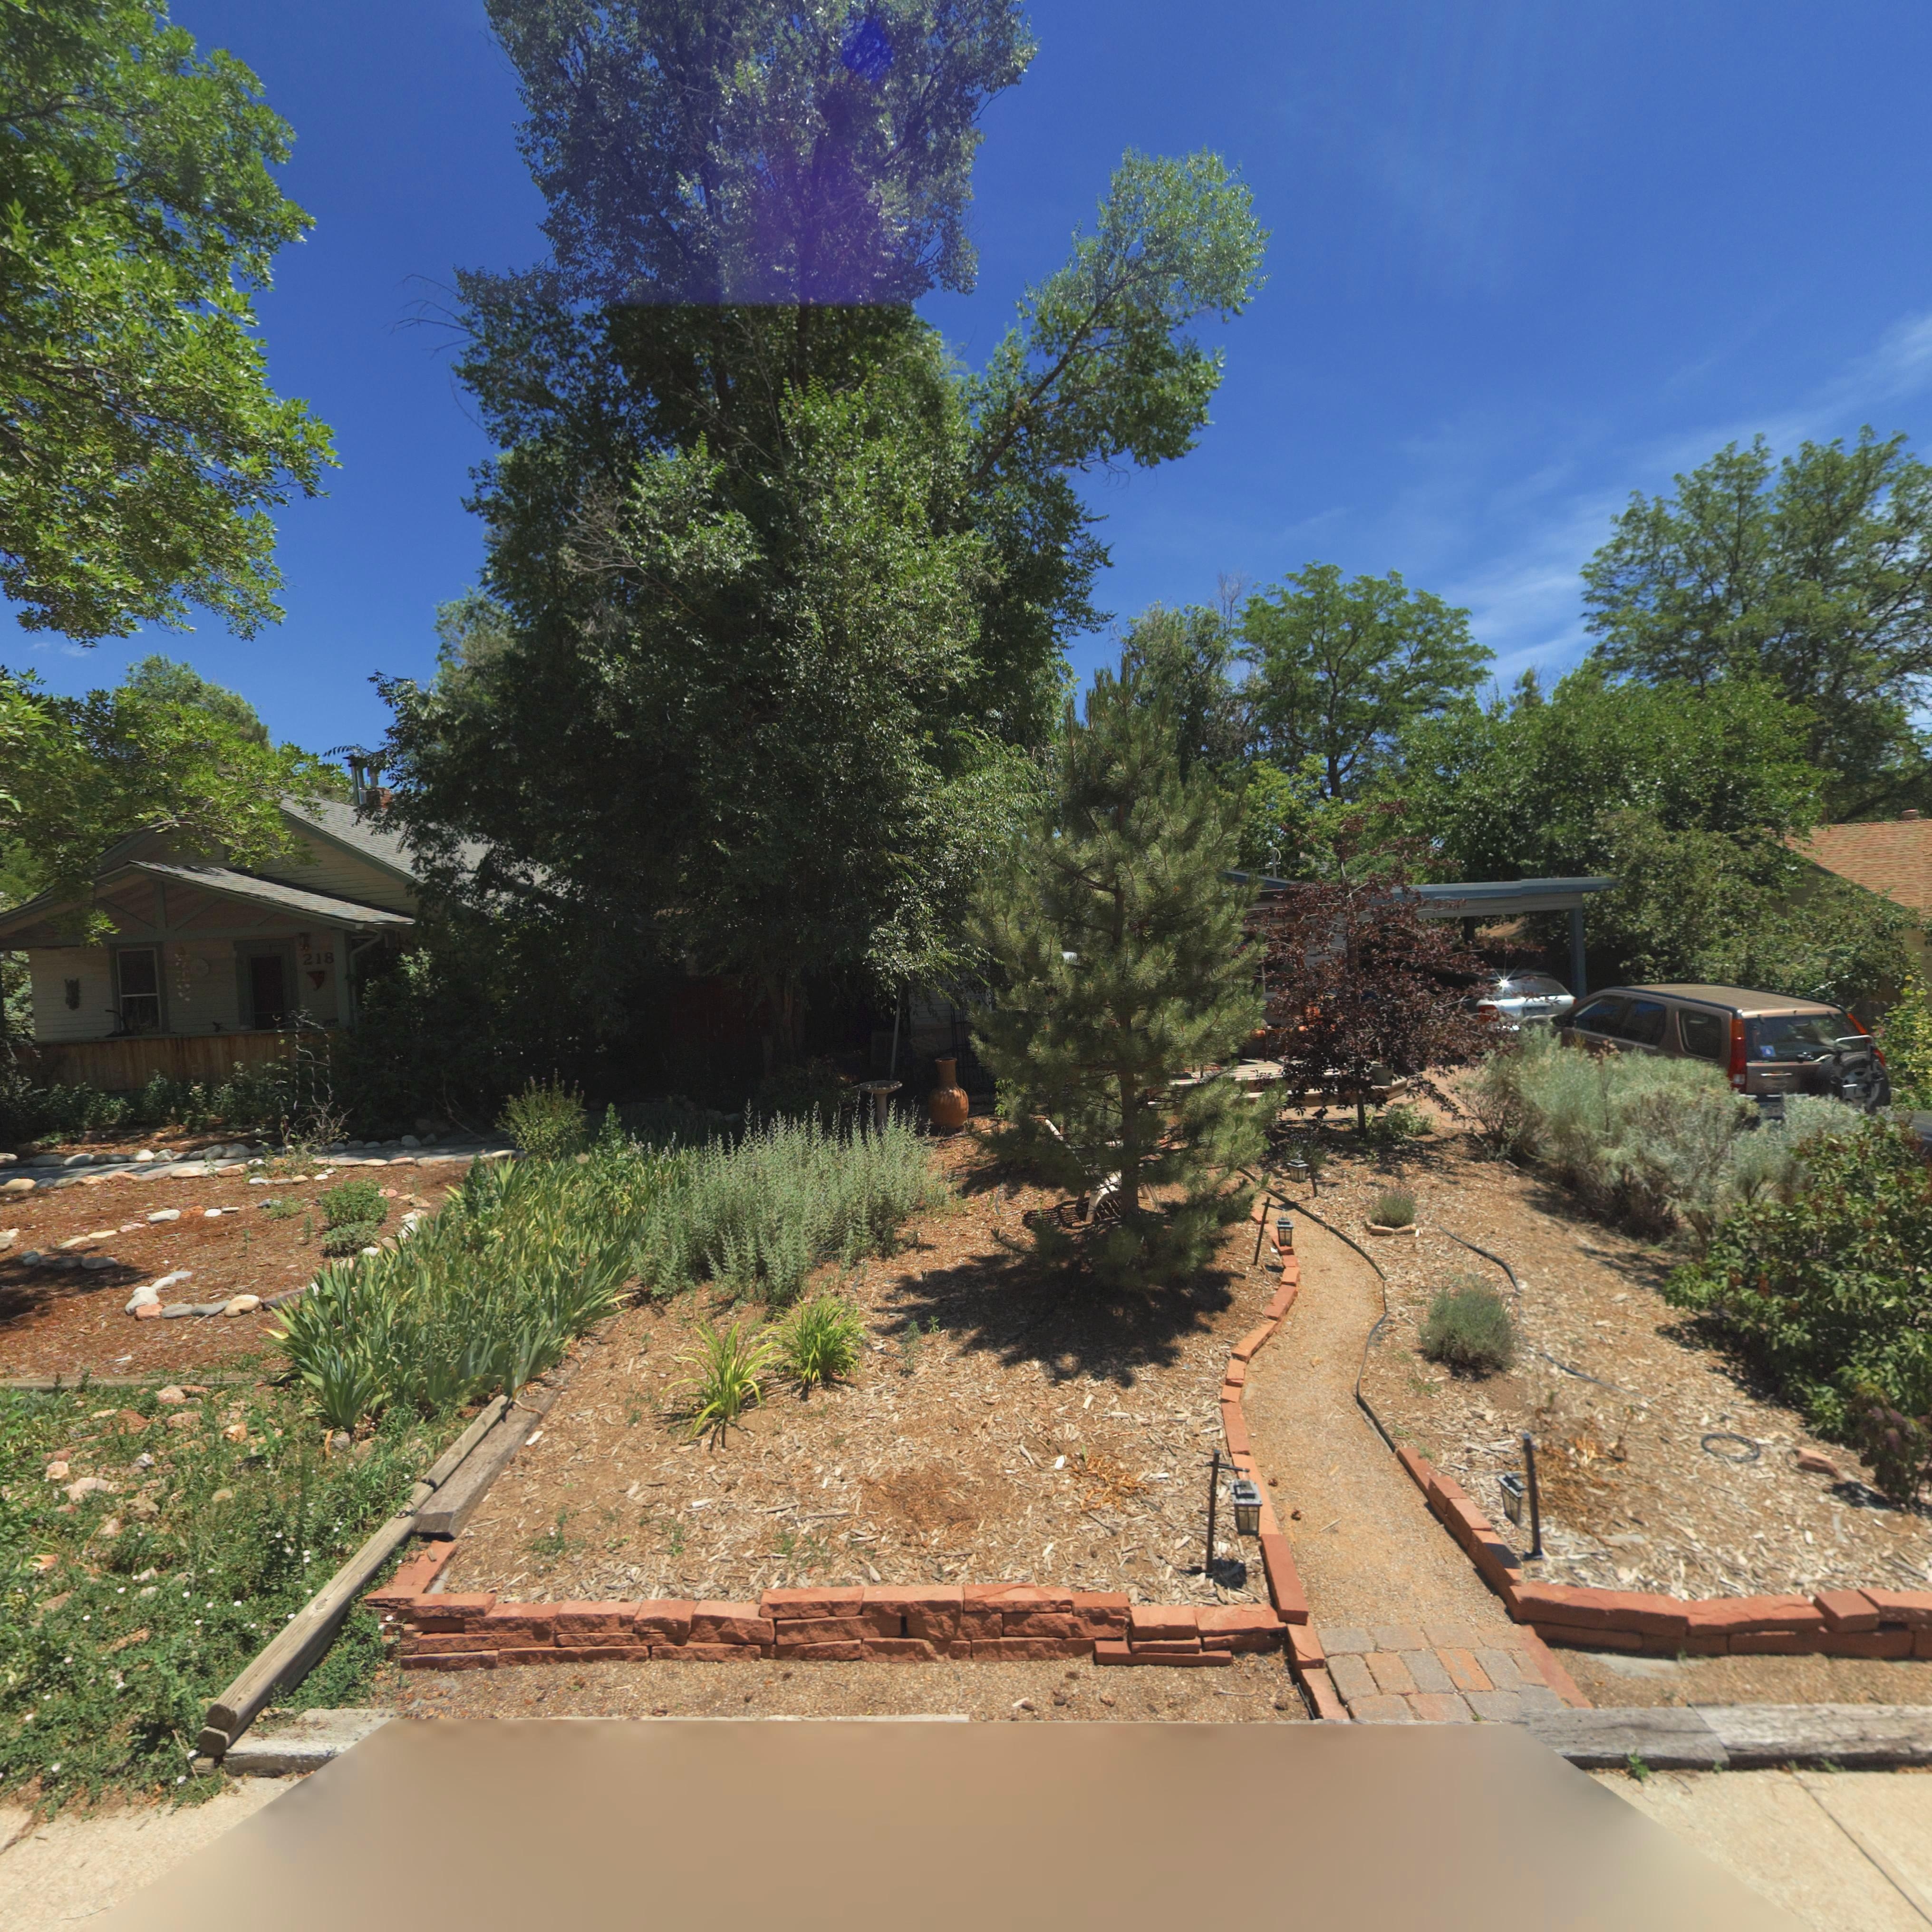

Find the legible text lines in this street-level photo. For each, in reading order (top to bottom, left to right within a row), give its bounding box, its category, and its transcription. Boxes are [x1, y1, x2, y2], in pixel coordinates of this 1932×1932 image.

[302, 951, 334, 966] StreetNumber: 218